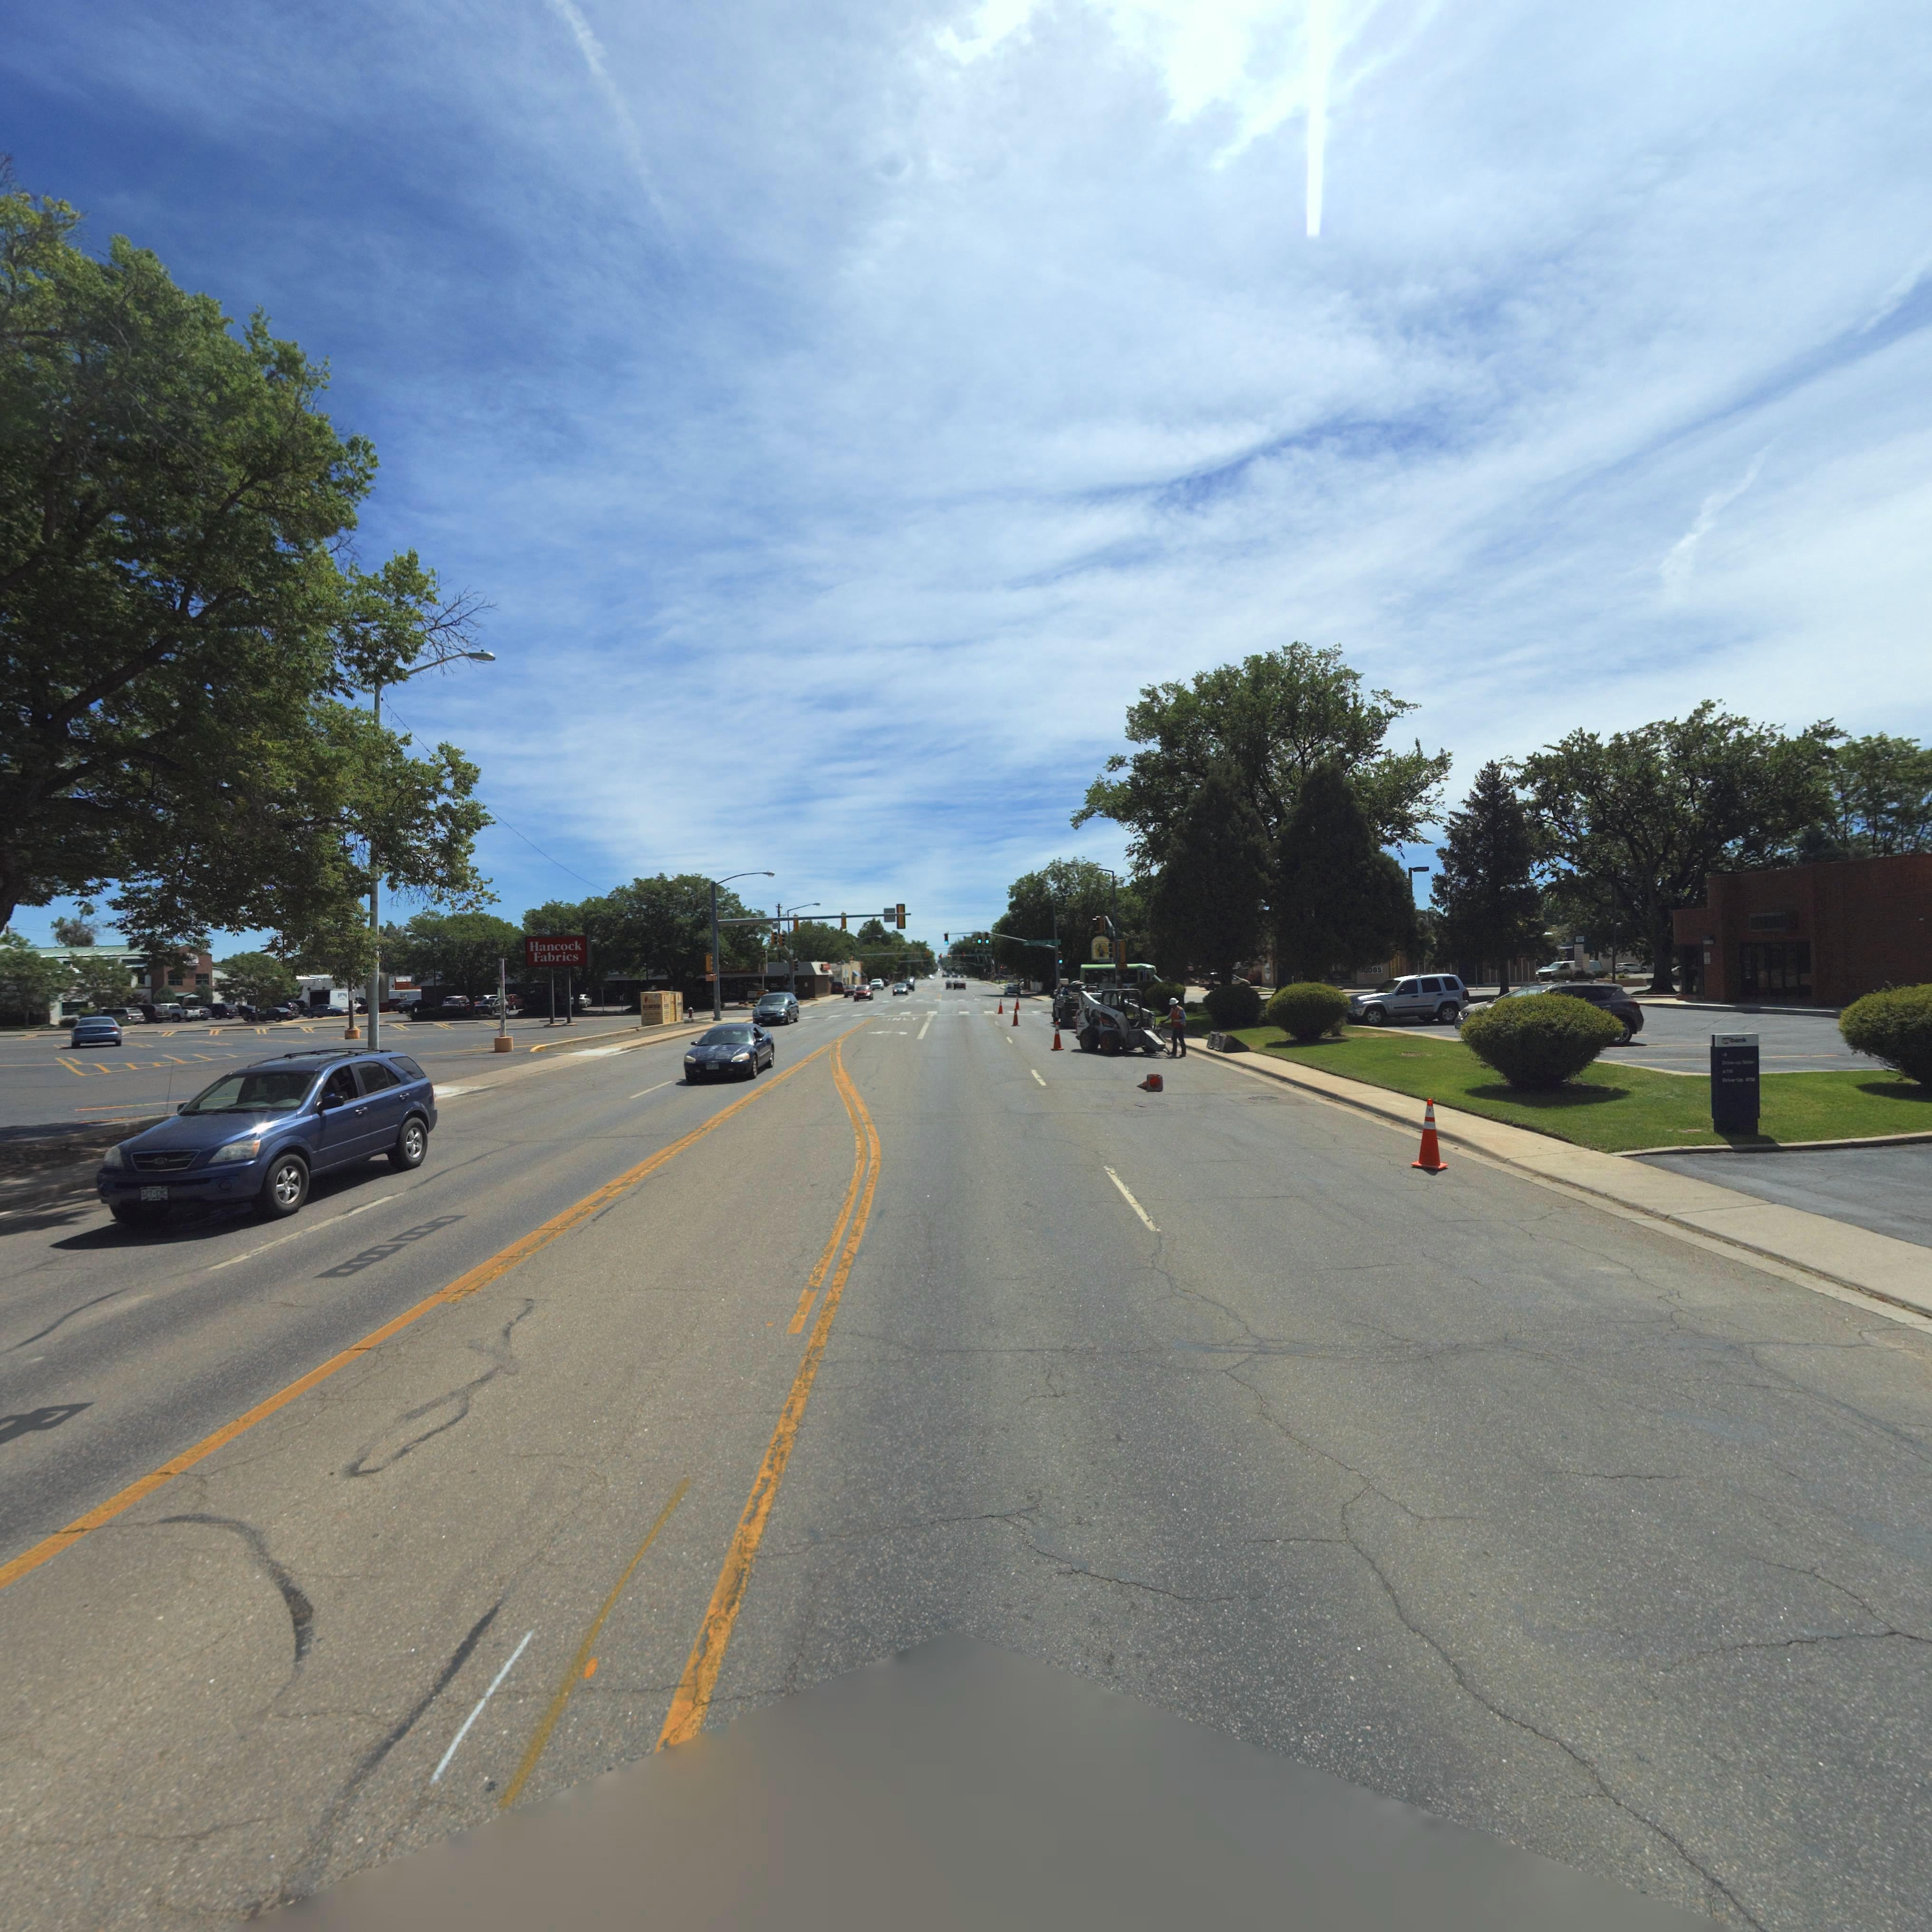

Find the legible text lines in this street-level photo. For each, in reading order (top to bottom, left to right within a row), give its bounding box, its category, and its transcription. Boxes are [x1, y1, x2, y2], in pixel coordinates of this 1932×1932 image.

[530, 940, 582, 952] BusinessName: Hancock
[533, 951, 579, 963] BusinessName: Fabrics
[1721, 1036, 1747, 1043] BusinessName: **b**k